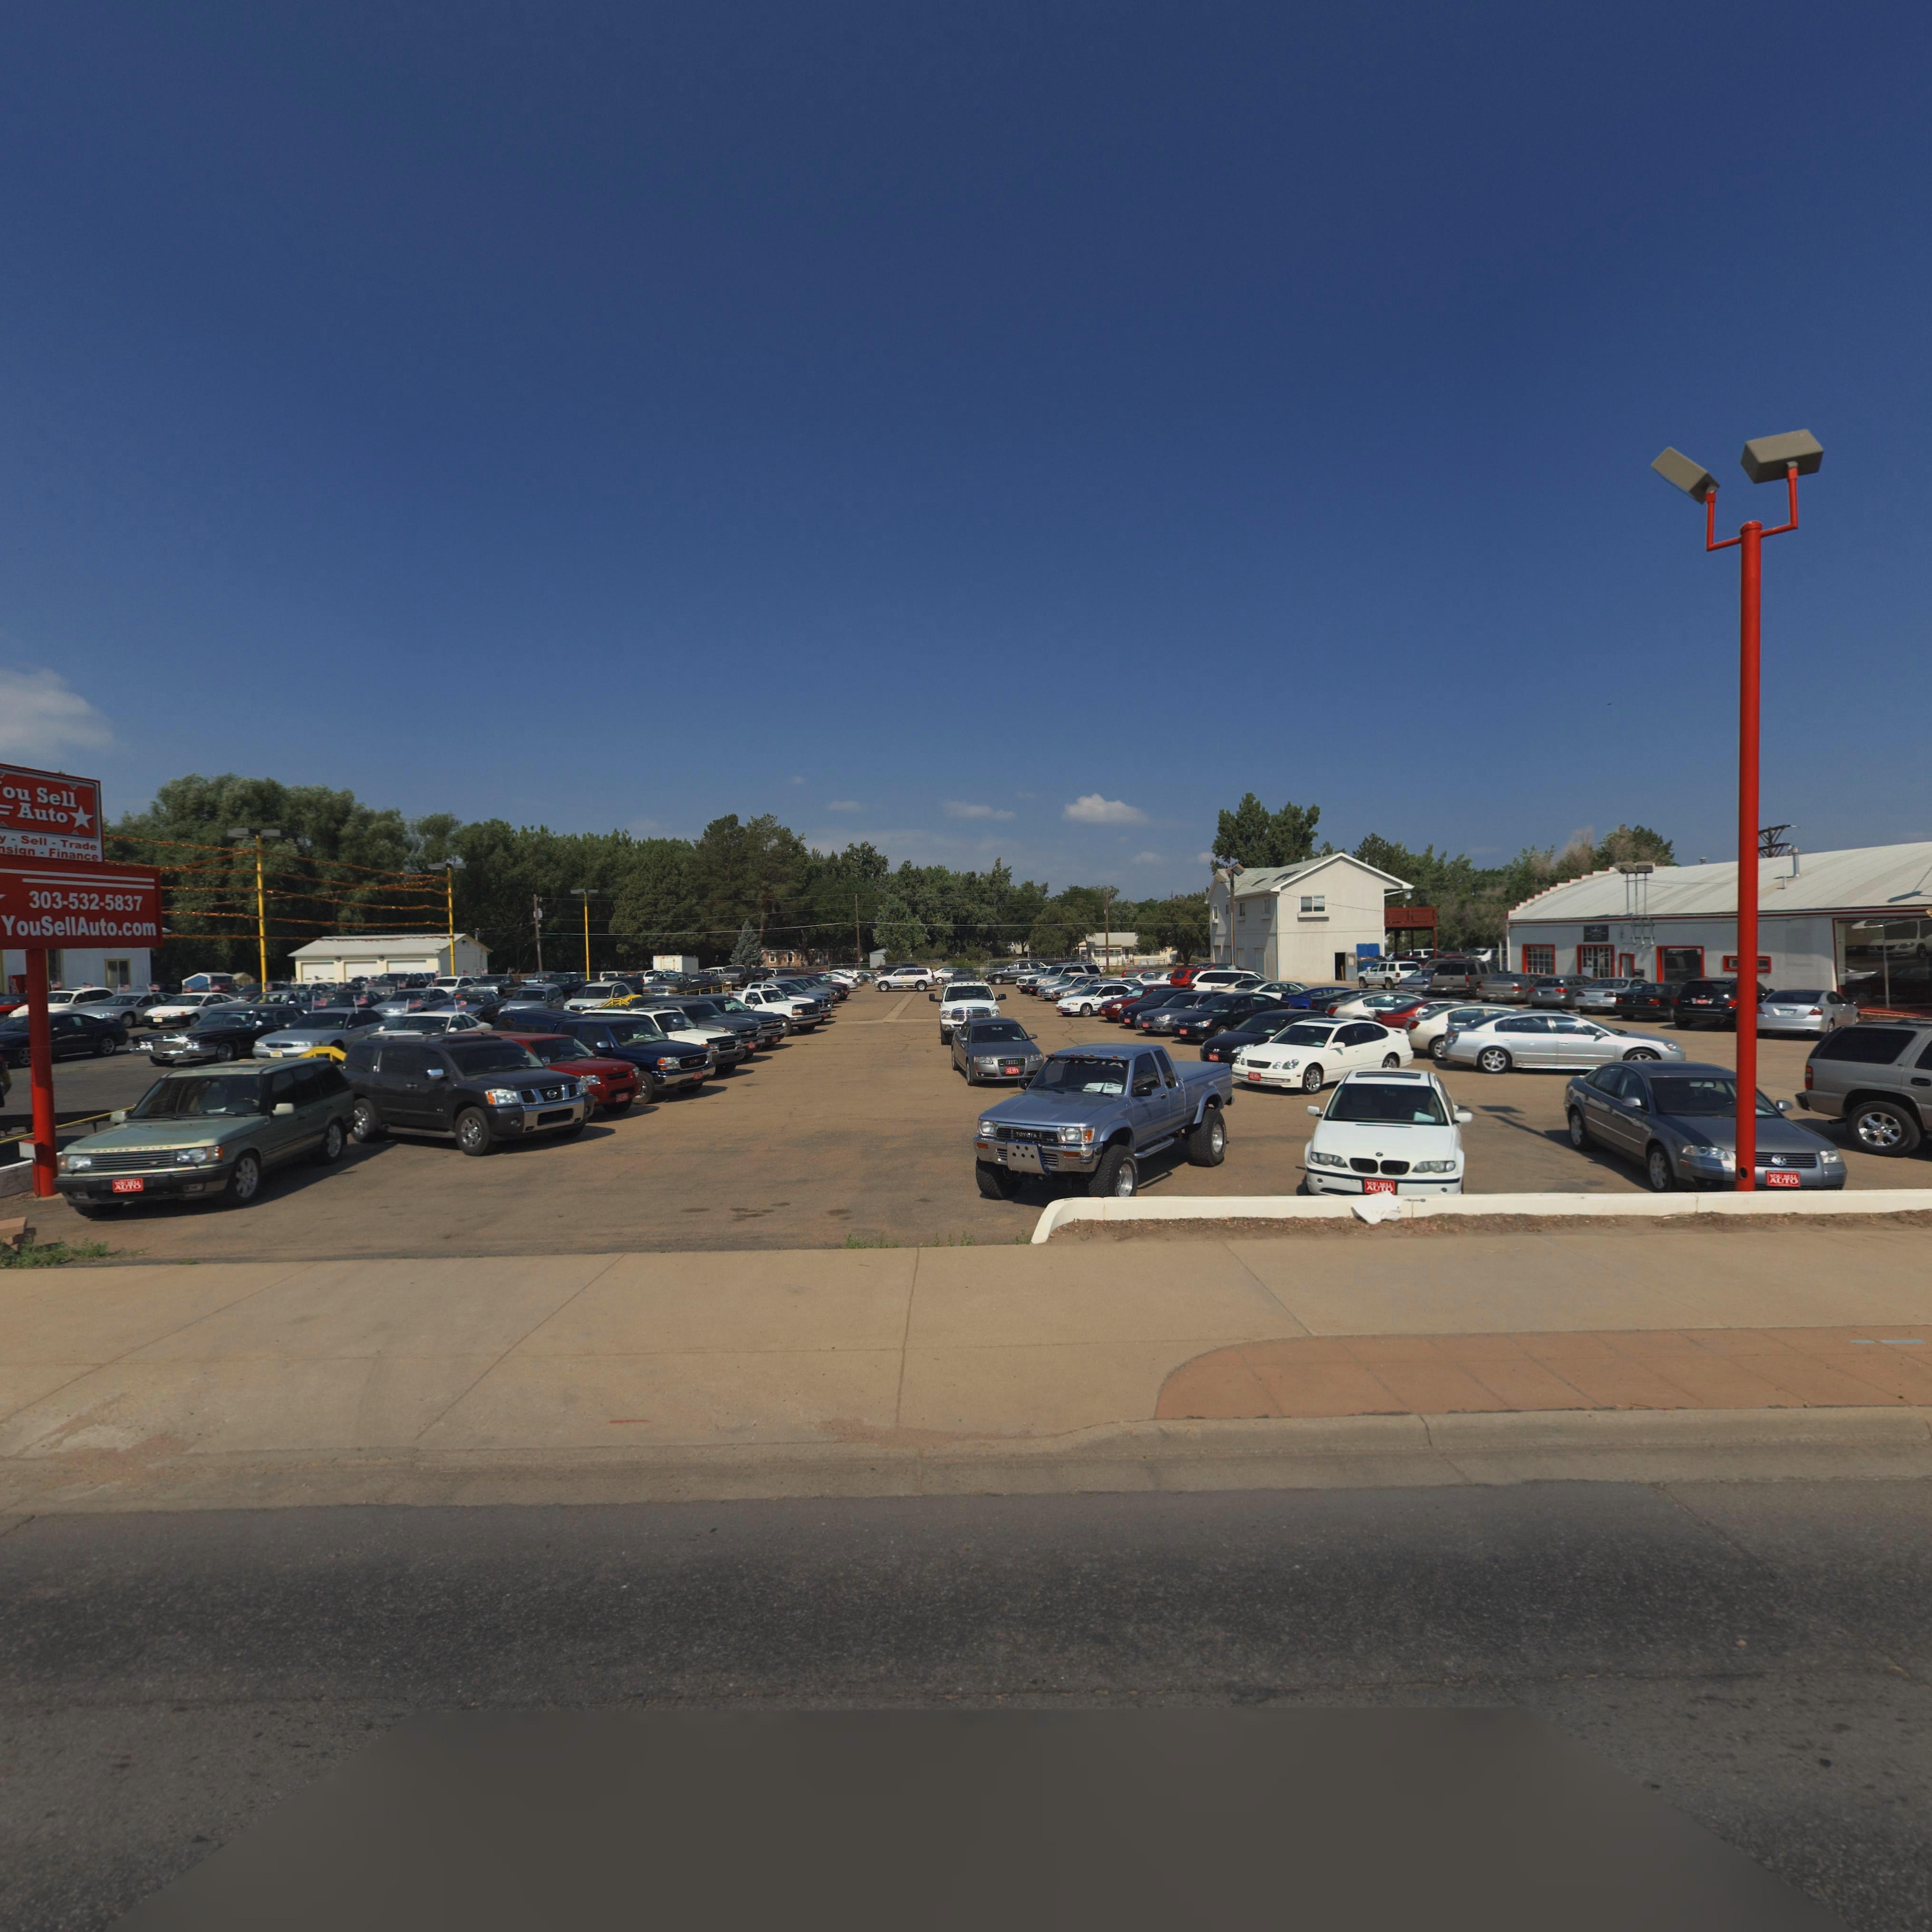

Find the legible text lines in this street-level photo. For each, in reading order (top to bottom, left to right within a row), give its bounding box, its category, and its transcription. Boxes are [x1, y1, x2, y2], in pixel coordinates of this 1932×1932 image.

[2, 786, 77, 808] BusinessName: ou Sell
[17, 802, 68, 823] BusinessName: Auto